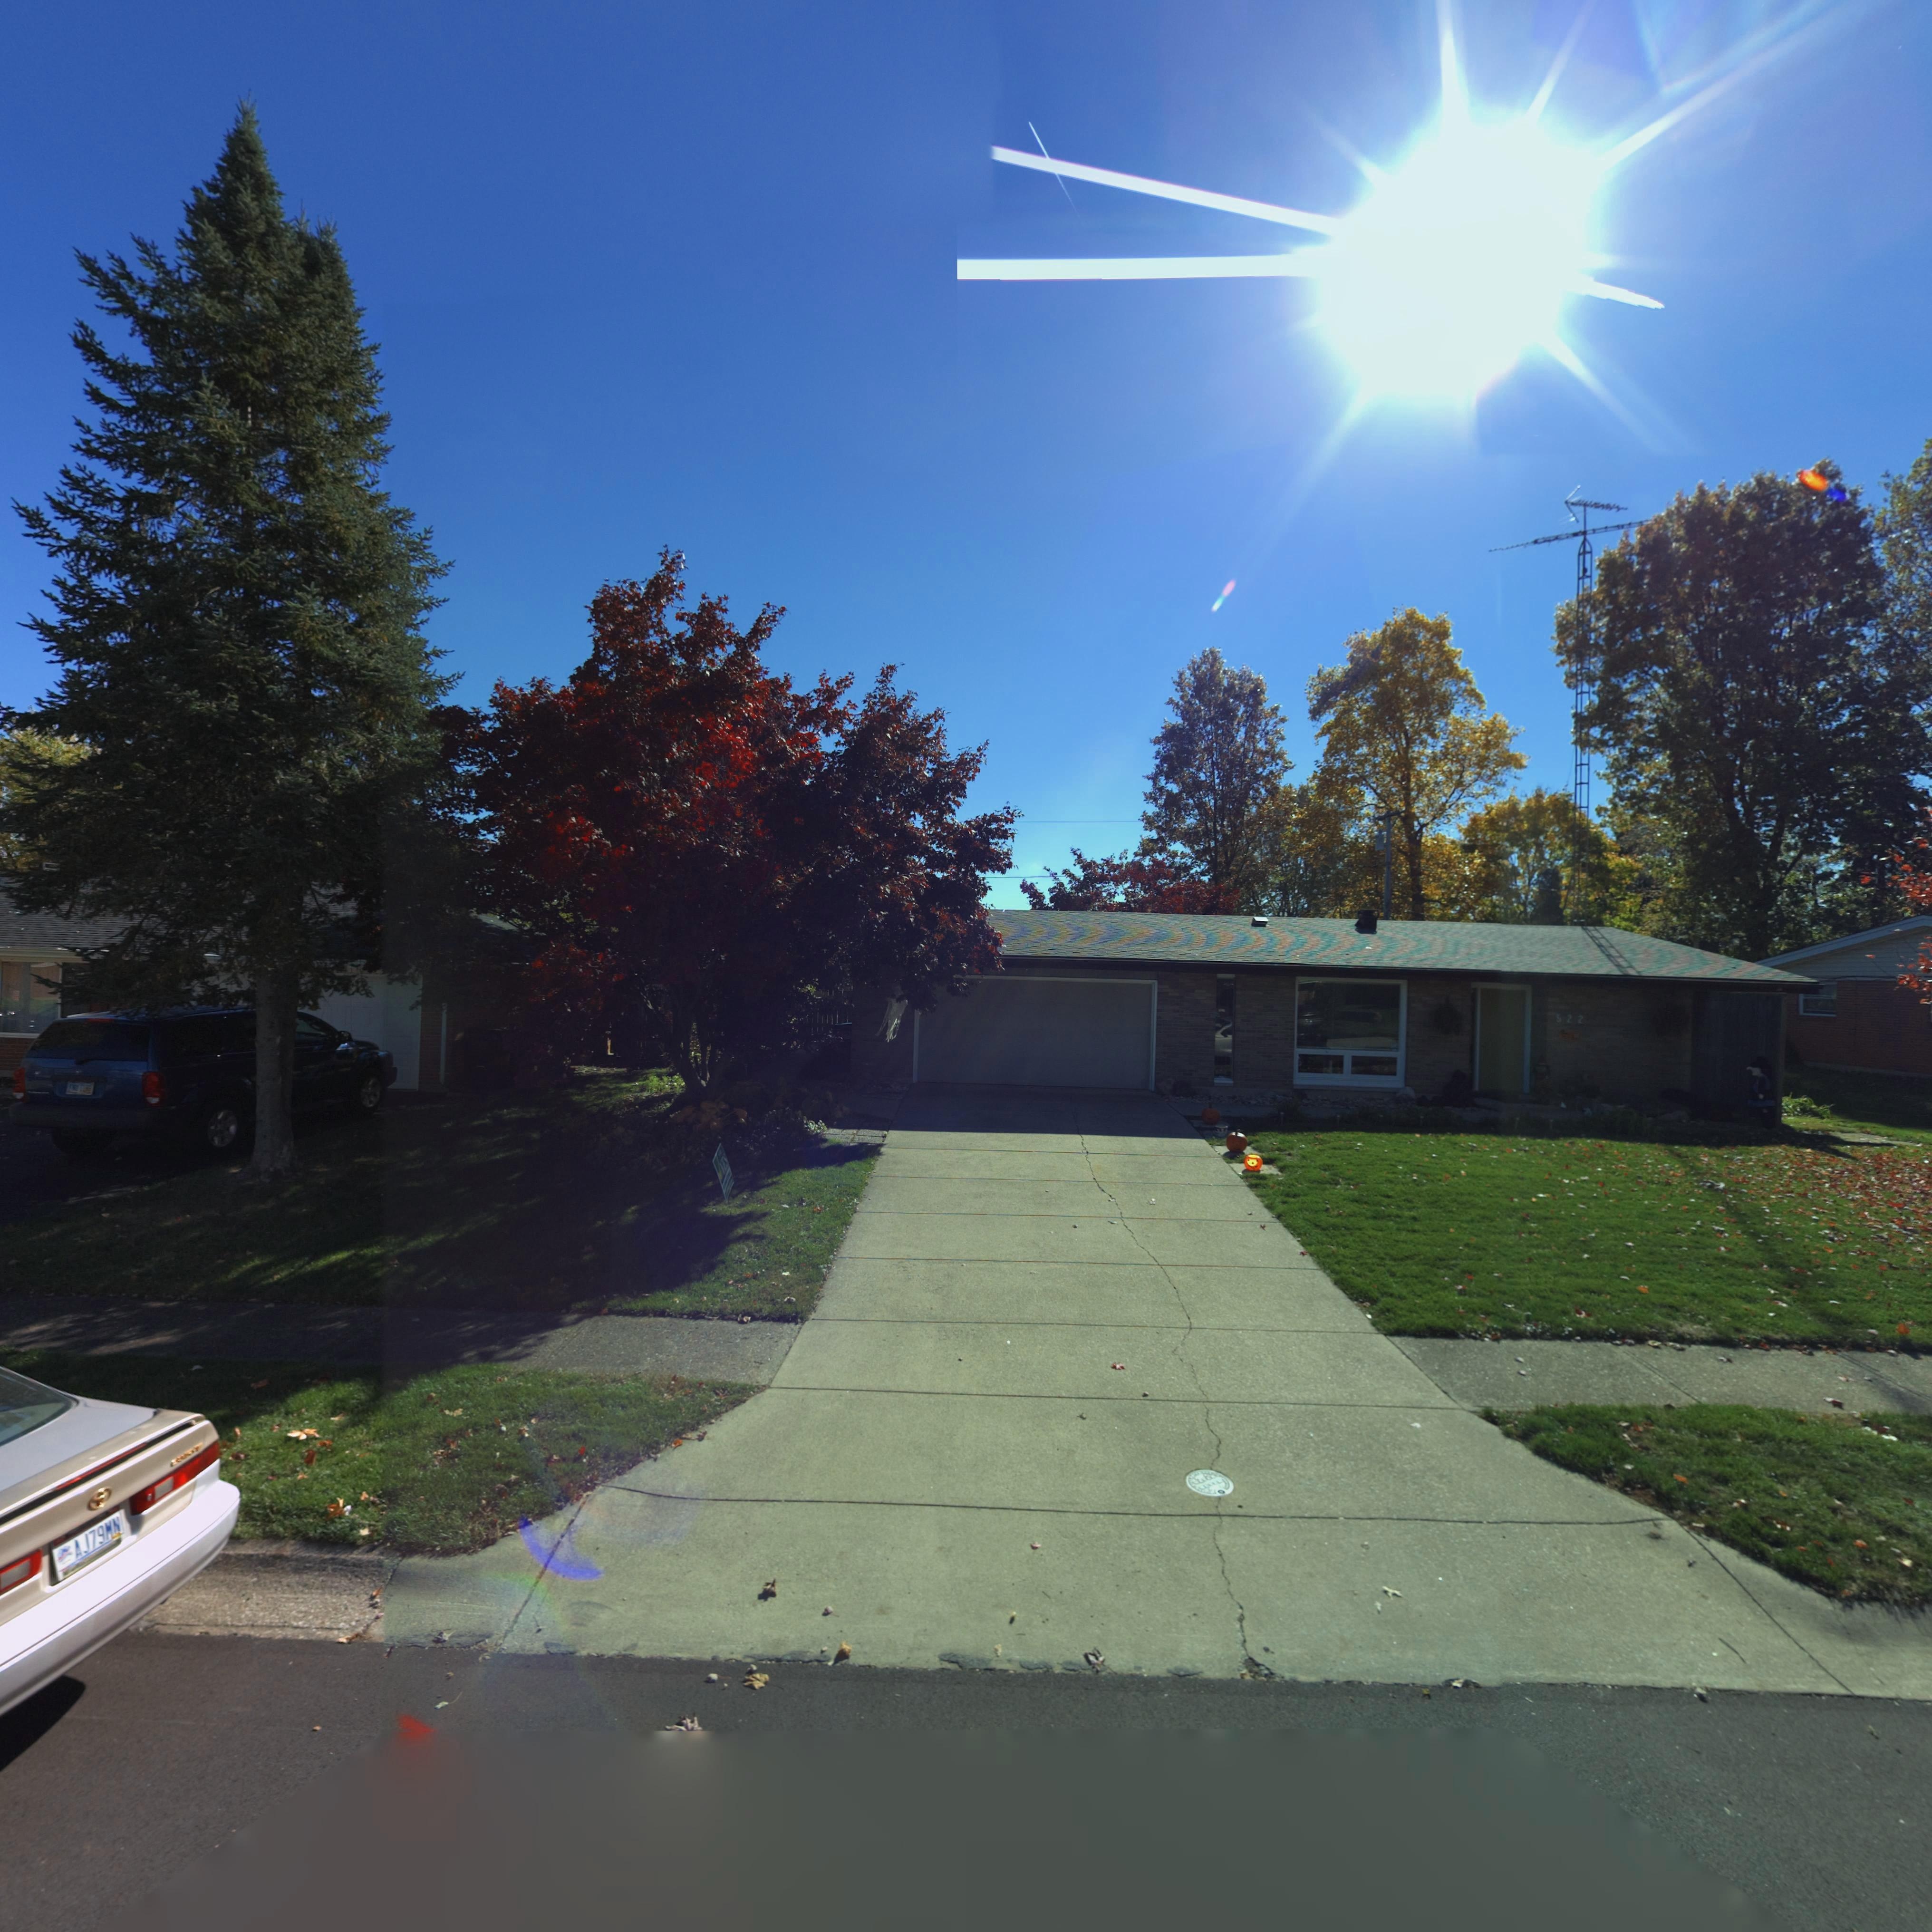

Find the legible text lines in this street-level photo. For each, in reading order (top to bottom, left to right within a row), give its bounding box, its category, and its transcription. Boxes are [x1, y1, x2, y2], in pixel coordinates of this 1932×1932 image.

[1555, 1013, 1584, 1026] StreetNumber: 522
[72, 1514, 122, 1562] None: AJ79MN